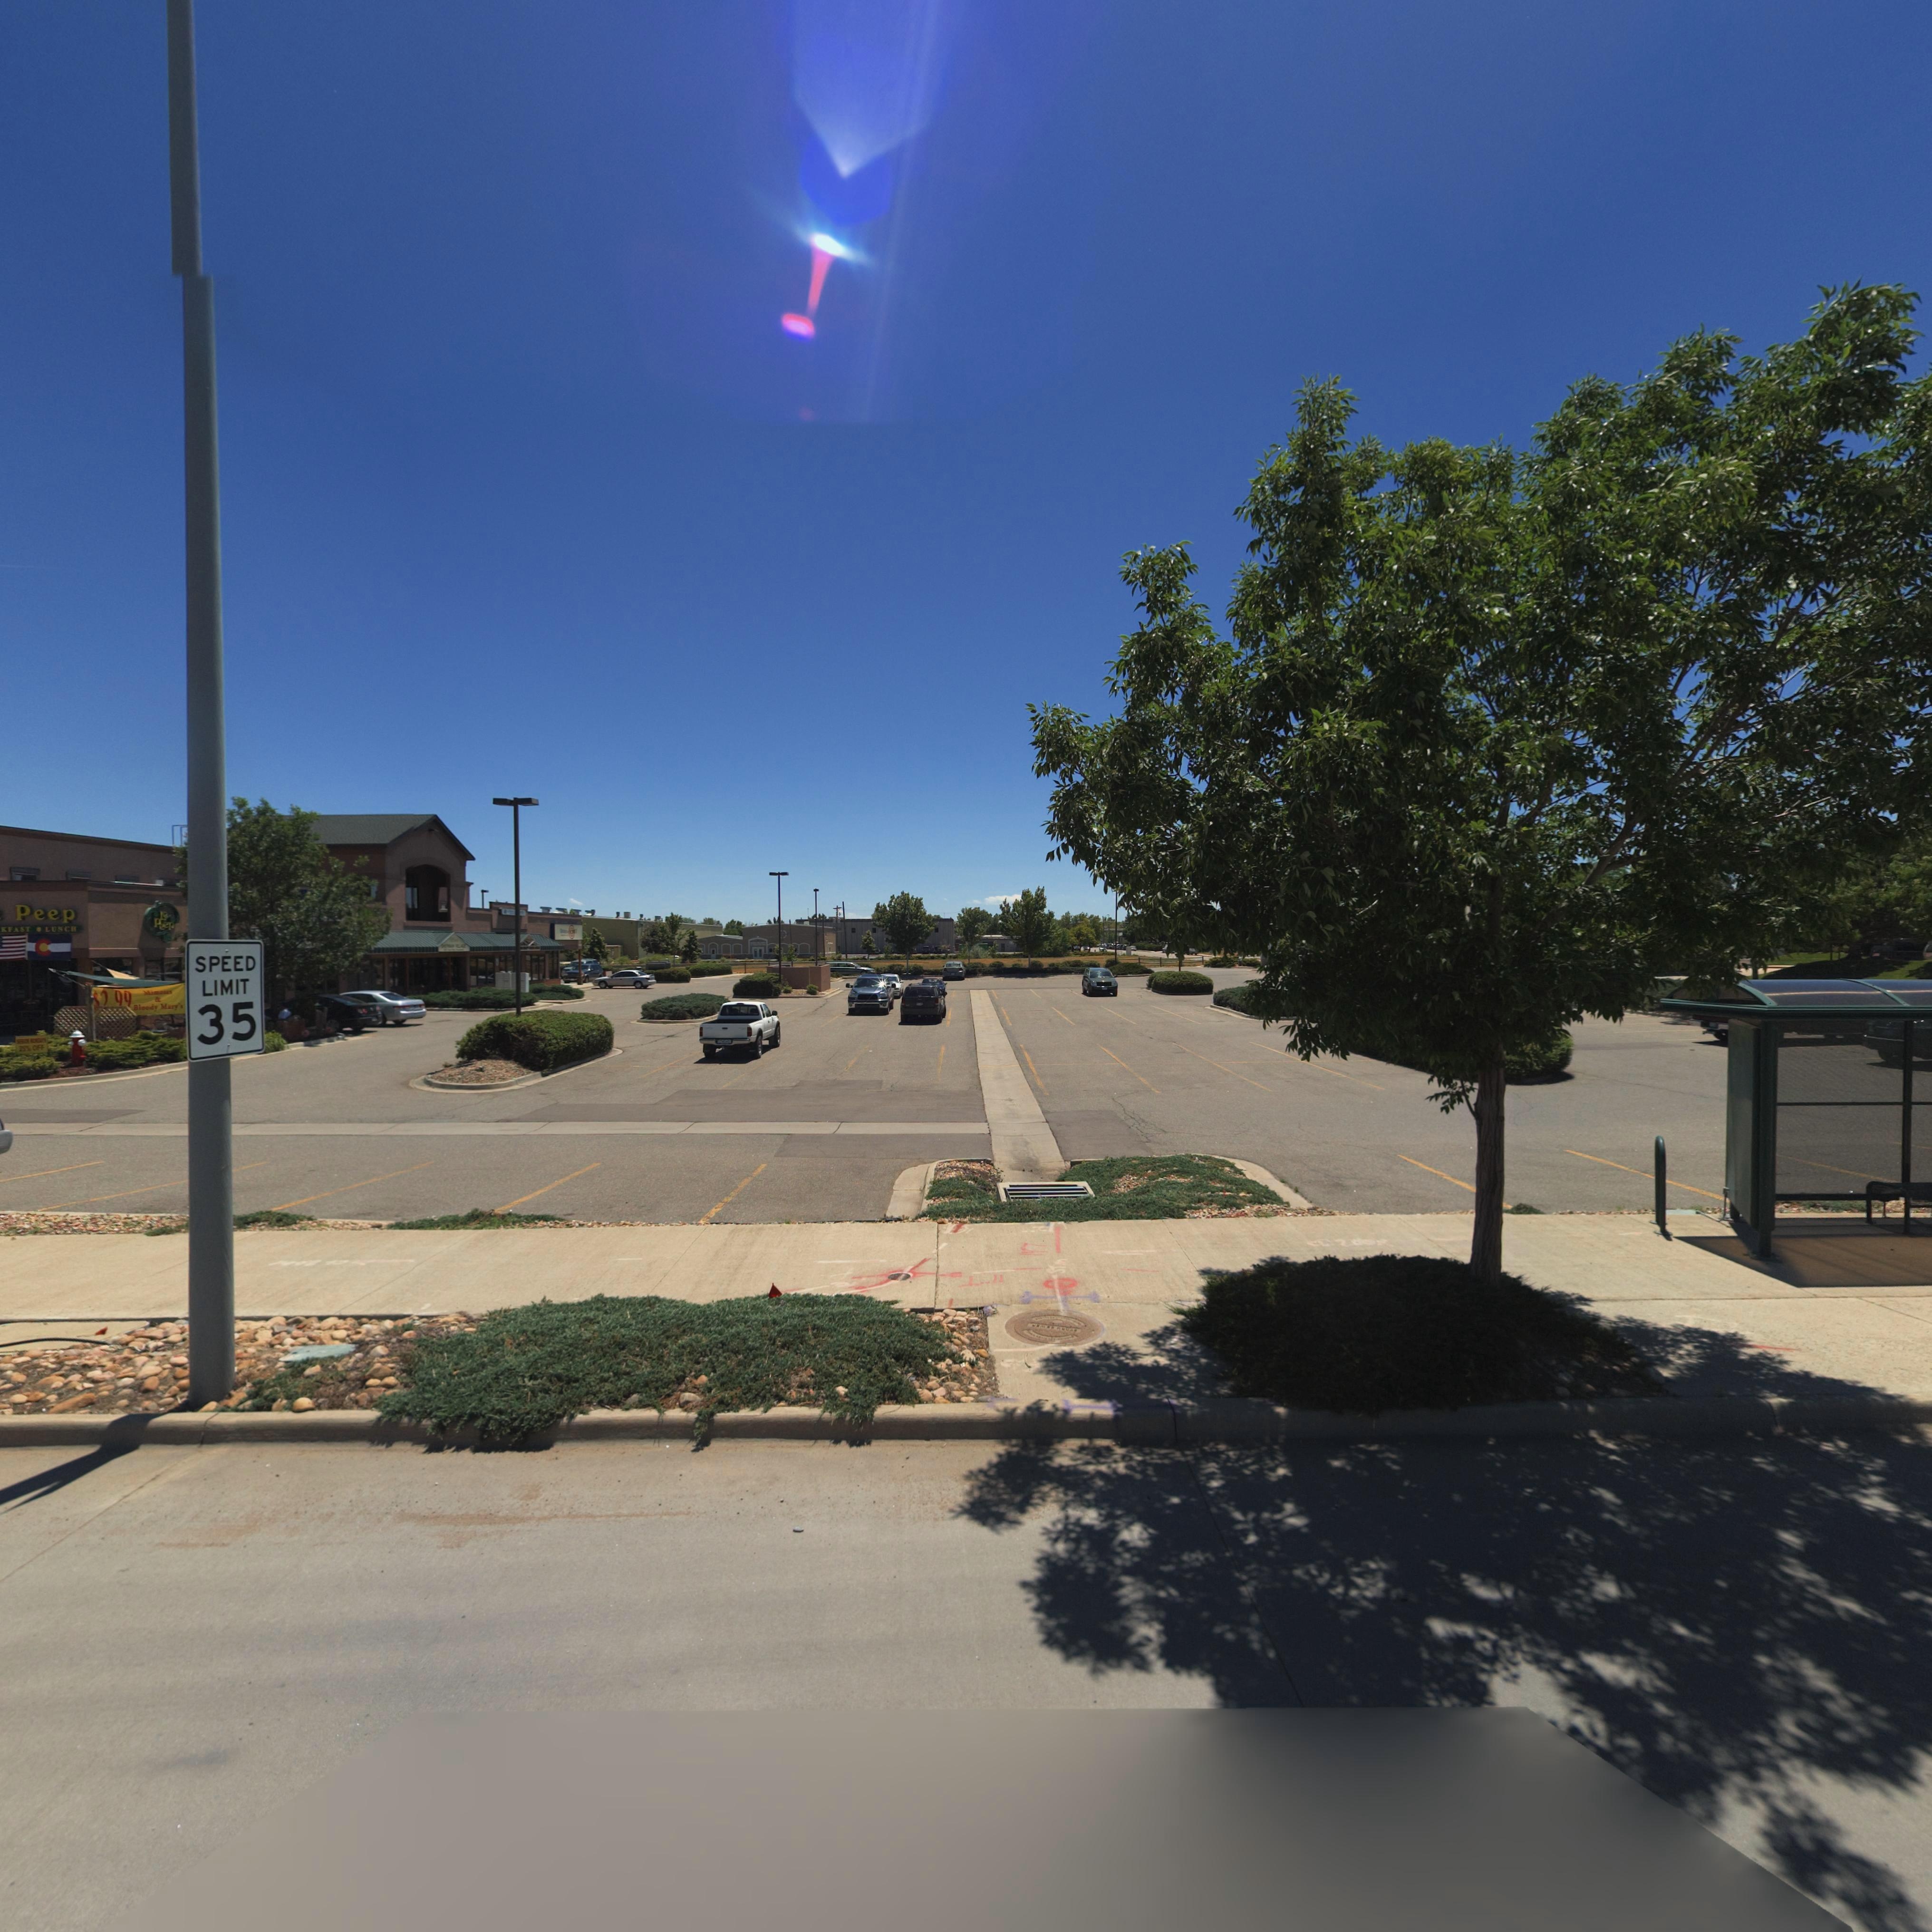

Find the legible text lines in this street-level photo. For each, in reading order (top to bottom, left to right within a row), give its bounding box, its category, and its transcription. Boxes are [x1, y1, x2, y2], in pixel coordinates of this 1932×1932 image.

[16, 904, 75, 924] BusinessName: Peep
[159, 910, 168, 920] BusinessName: Le
[153, 917, 174, 930] BusinessName: Peep